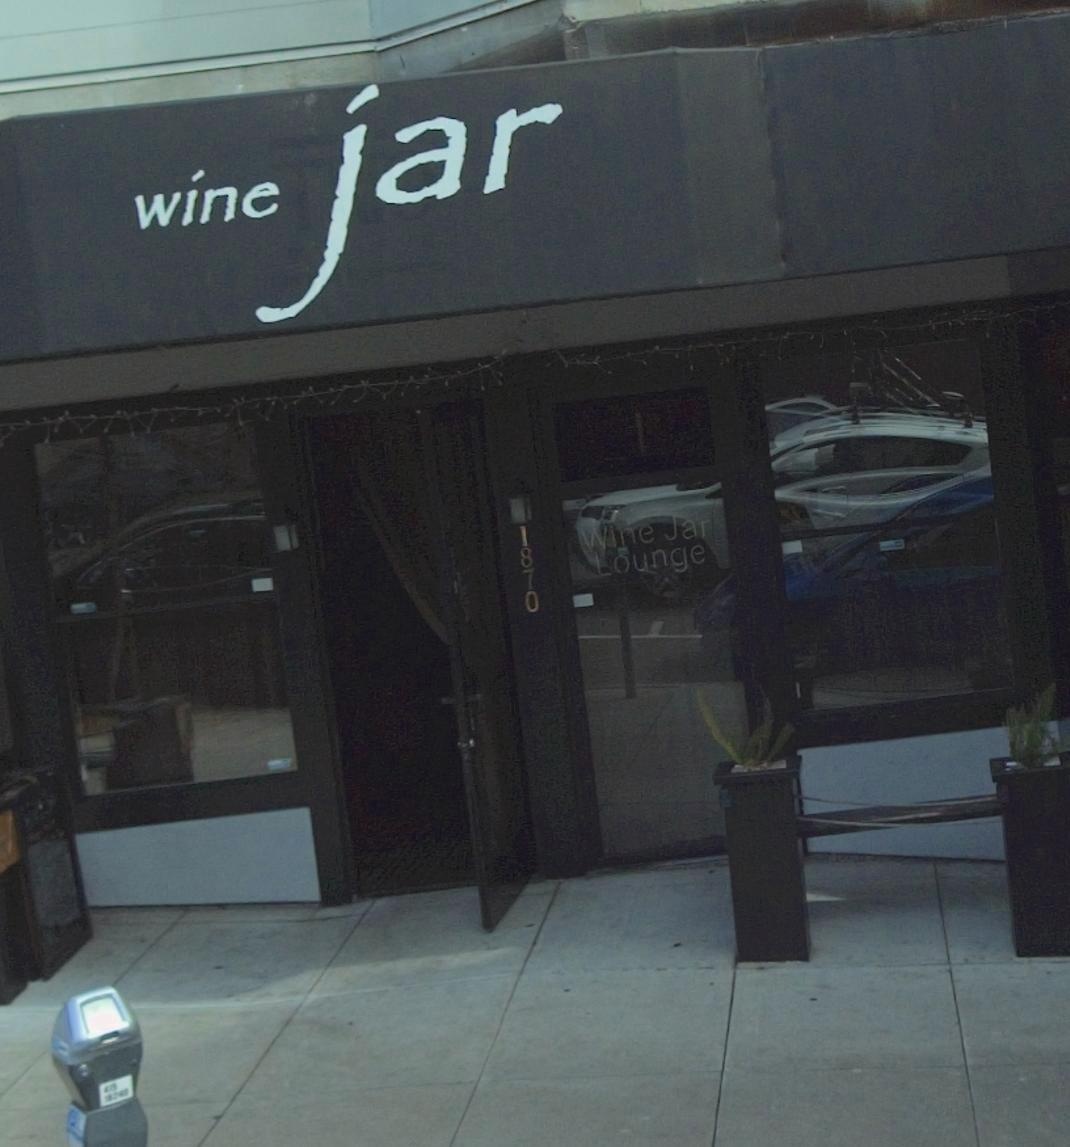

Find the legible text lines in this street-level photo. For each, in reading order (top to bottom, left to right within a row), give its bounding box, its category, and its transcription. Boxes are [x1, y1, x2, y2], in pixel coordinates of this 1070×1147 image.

[131, 166, 282, 233] BusinessName: wine
[250, 81, 567, 327] BusinessName: jar
[517, 521, 542, 616] StreetNumber: 1870
[578, 513, 712, 555] BusinessName: Wine Jar
[593, 543, 708, 578] BusinessName: Lounge